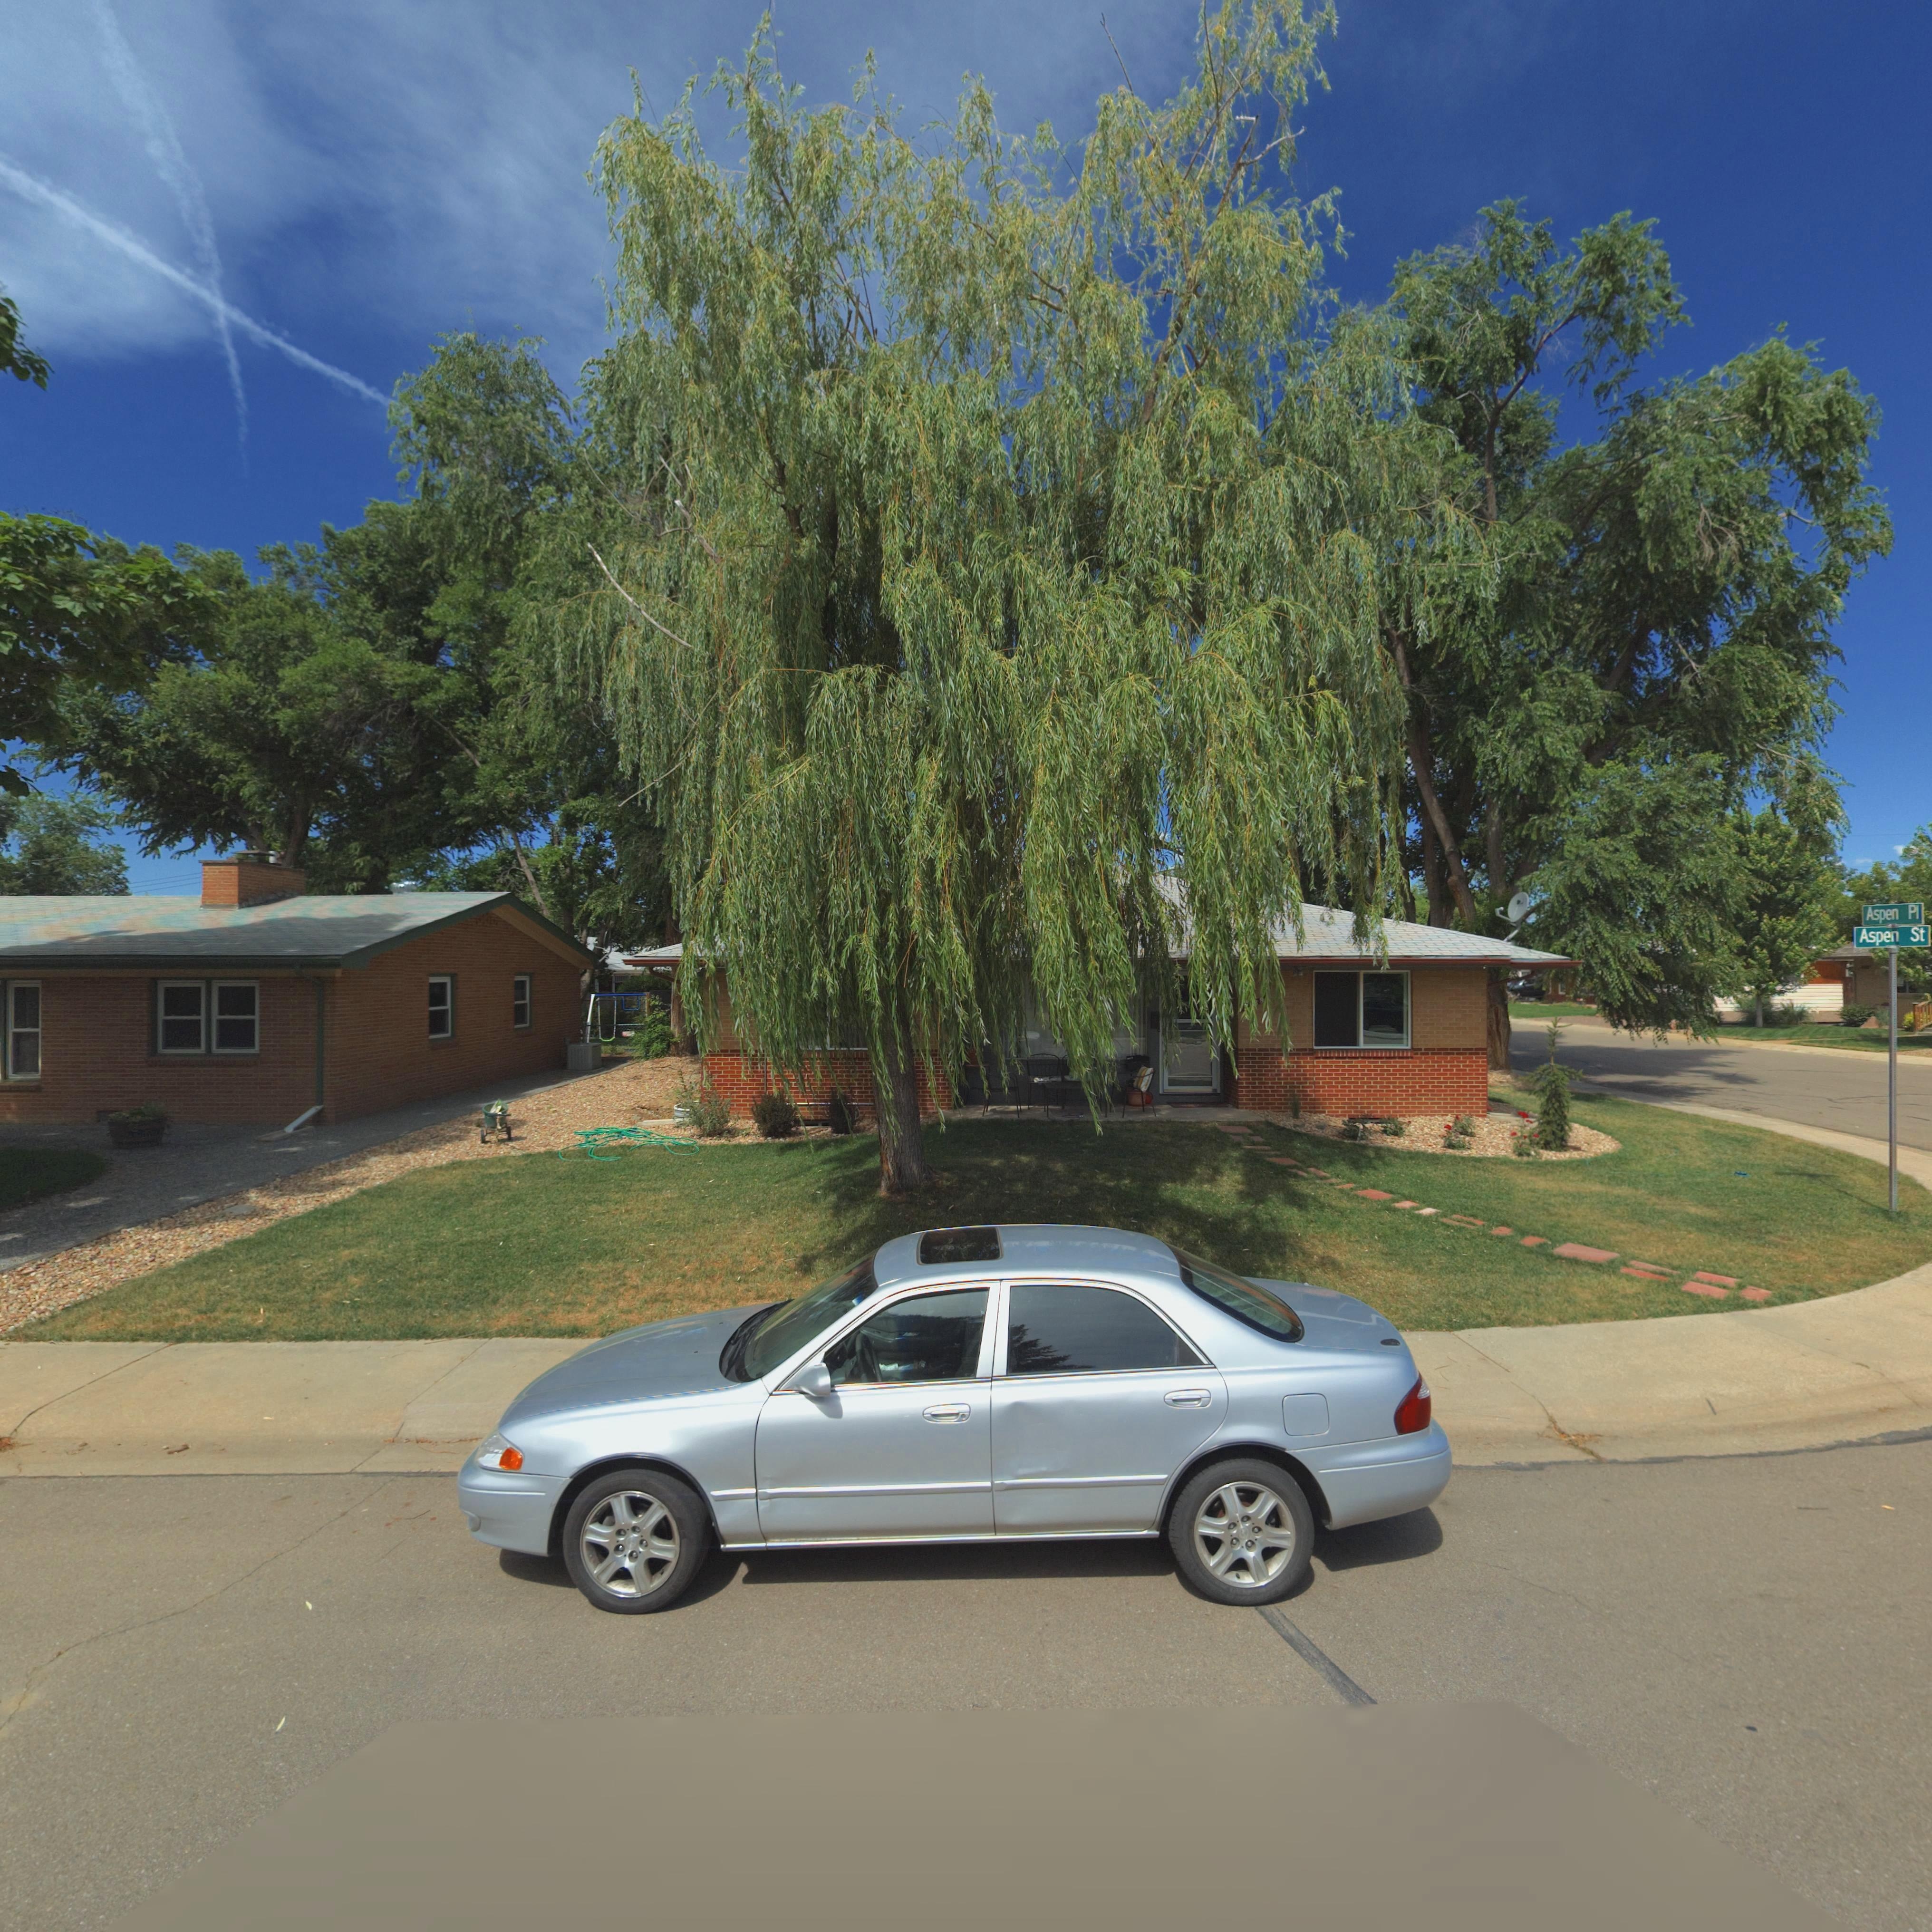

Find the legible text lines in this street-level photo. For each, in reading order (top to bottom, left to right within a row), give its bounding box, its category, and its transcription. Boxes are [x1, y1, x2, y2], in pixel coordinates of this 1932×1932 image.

[1865, 904, 1919, 924] StreetName: Aspen Pl
[1859, 927, 1925, 946] StreetName: Aspen St
[1244, 996, 1264, 1011] StreetNumber: ***9